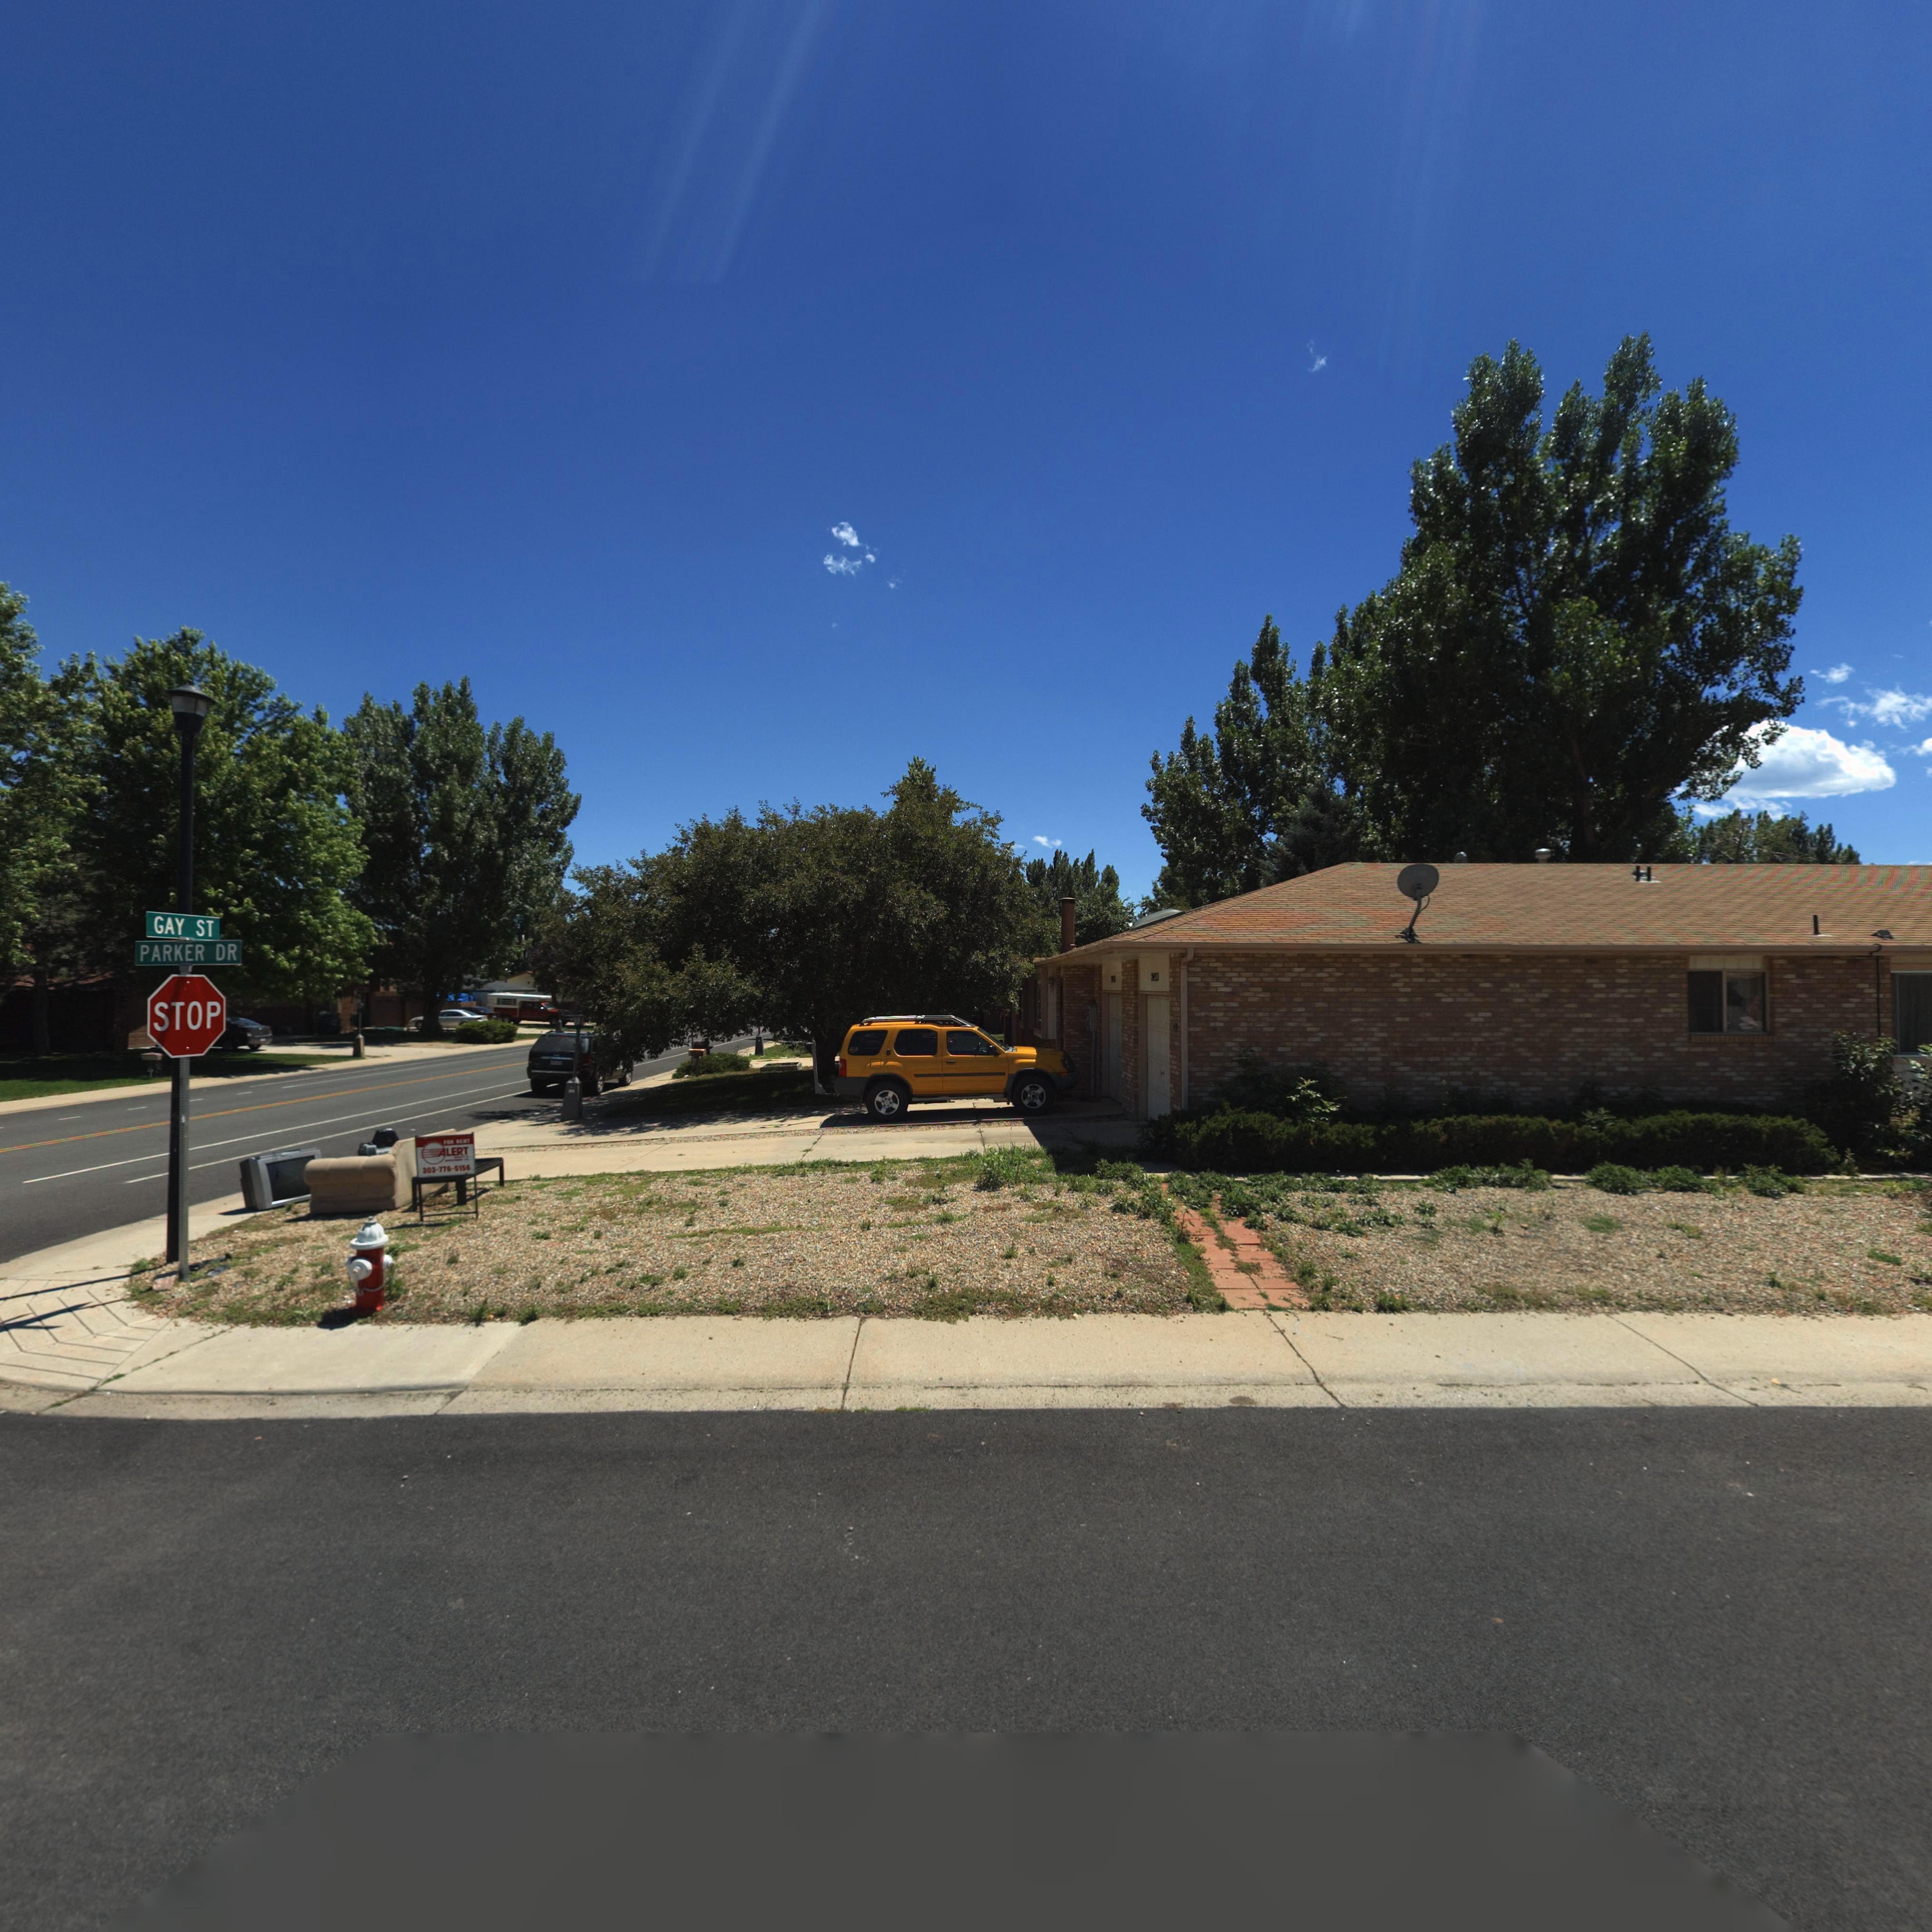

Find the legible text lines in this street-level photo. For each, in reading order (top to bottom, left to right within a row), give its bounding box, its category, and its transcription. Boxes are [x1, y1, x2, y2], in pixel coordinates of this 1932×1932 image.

[153, 915, 214, 937] StreetName: GAY ST
[139, 943, 238, 962] StreetName: PARKER DR
[1150, 972, 1159, 981] StreetNumber: 2433